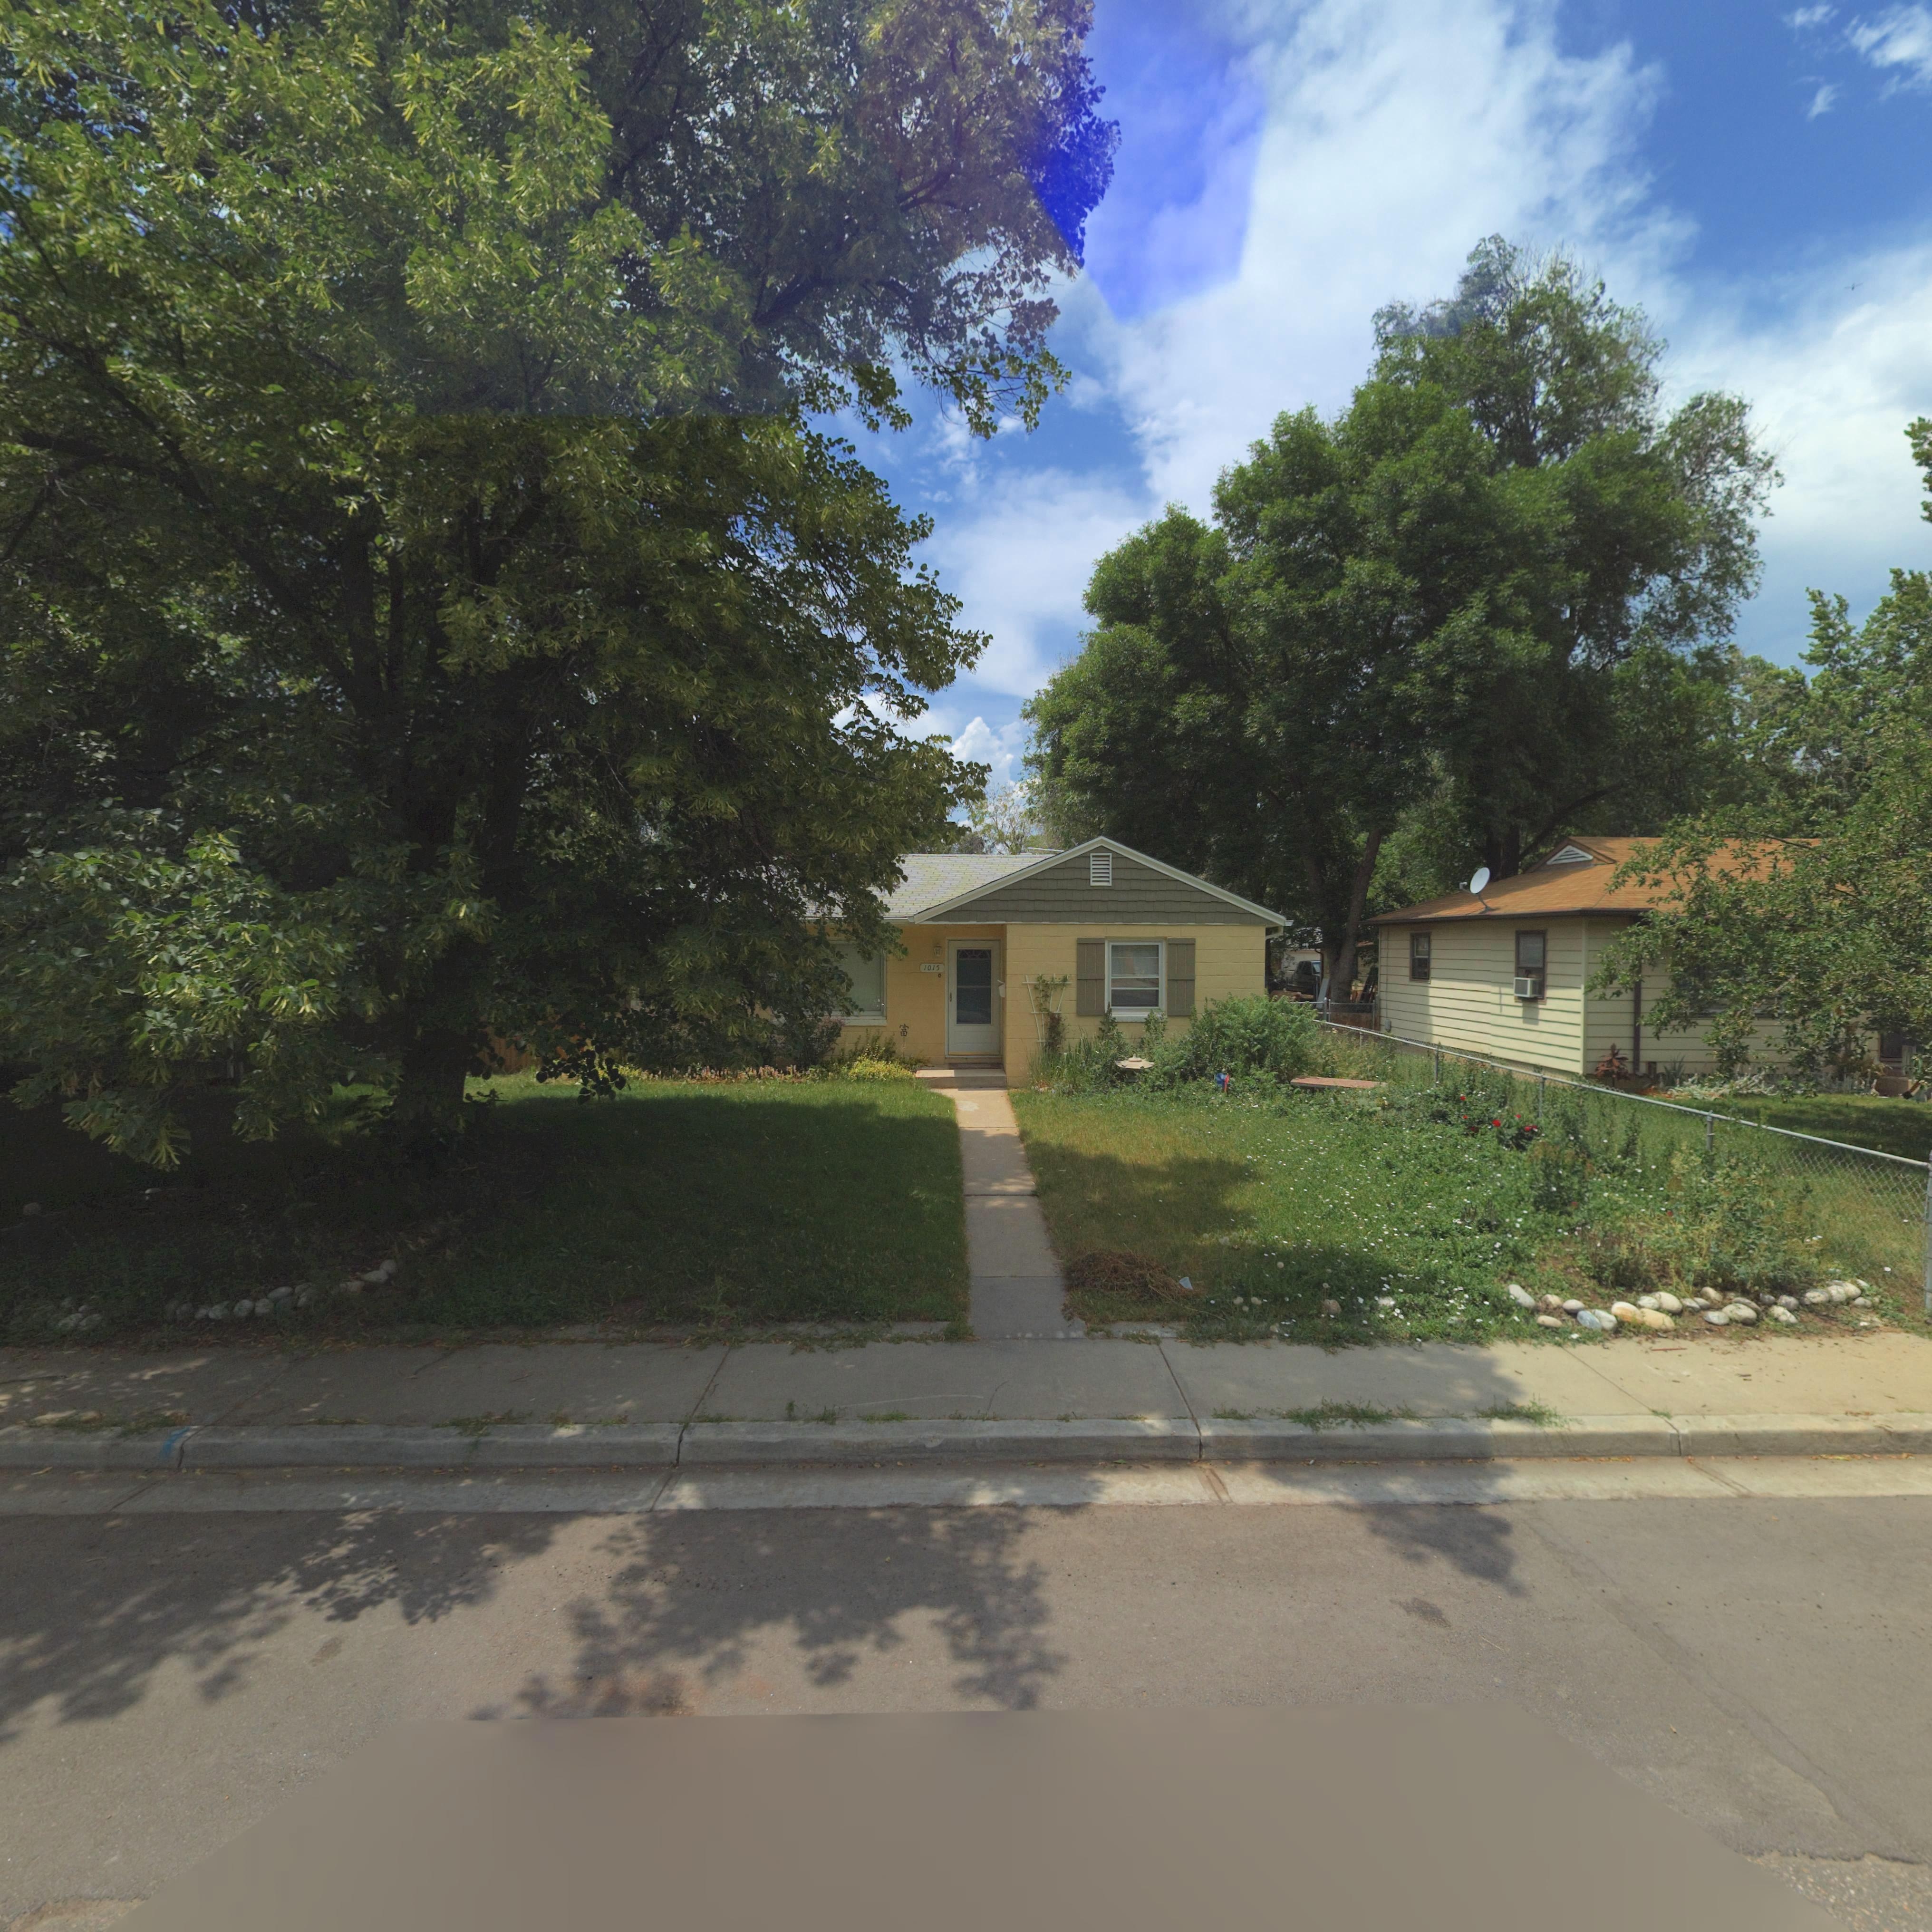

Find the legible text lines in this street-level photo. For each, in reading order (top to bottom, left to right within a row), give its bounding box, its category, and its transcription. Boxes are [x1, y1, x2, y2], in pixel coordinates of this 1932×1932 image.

[923, 965, 940, 970] StreetNumber: 1015